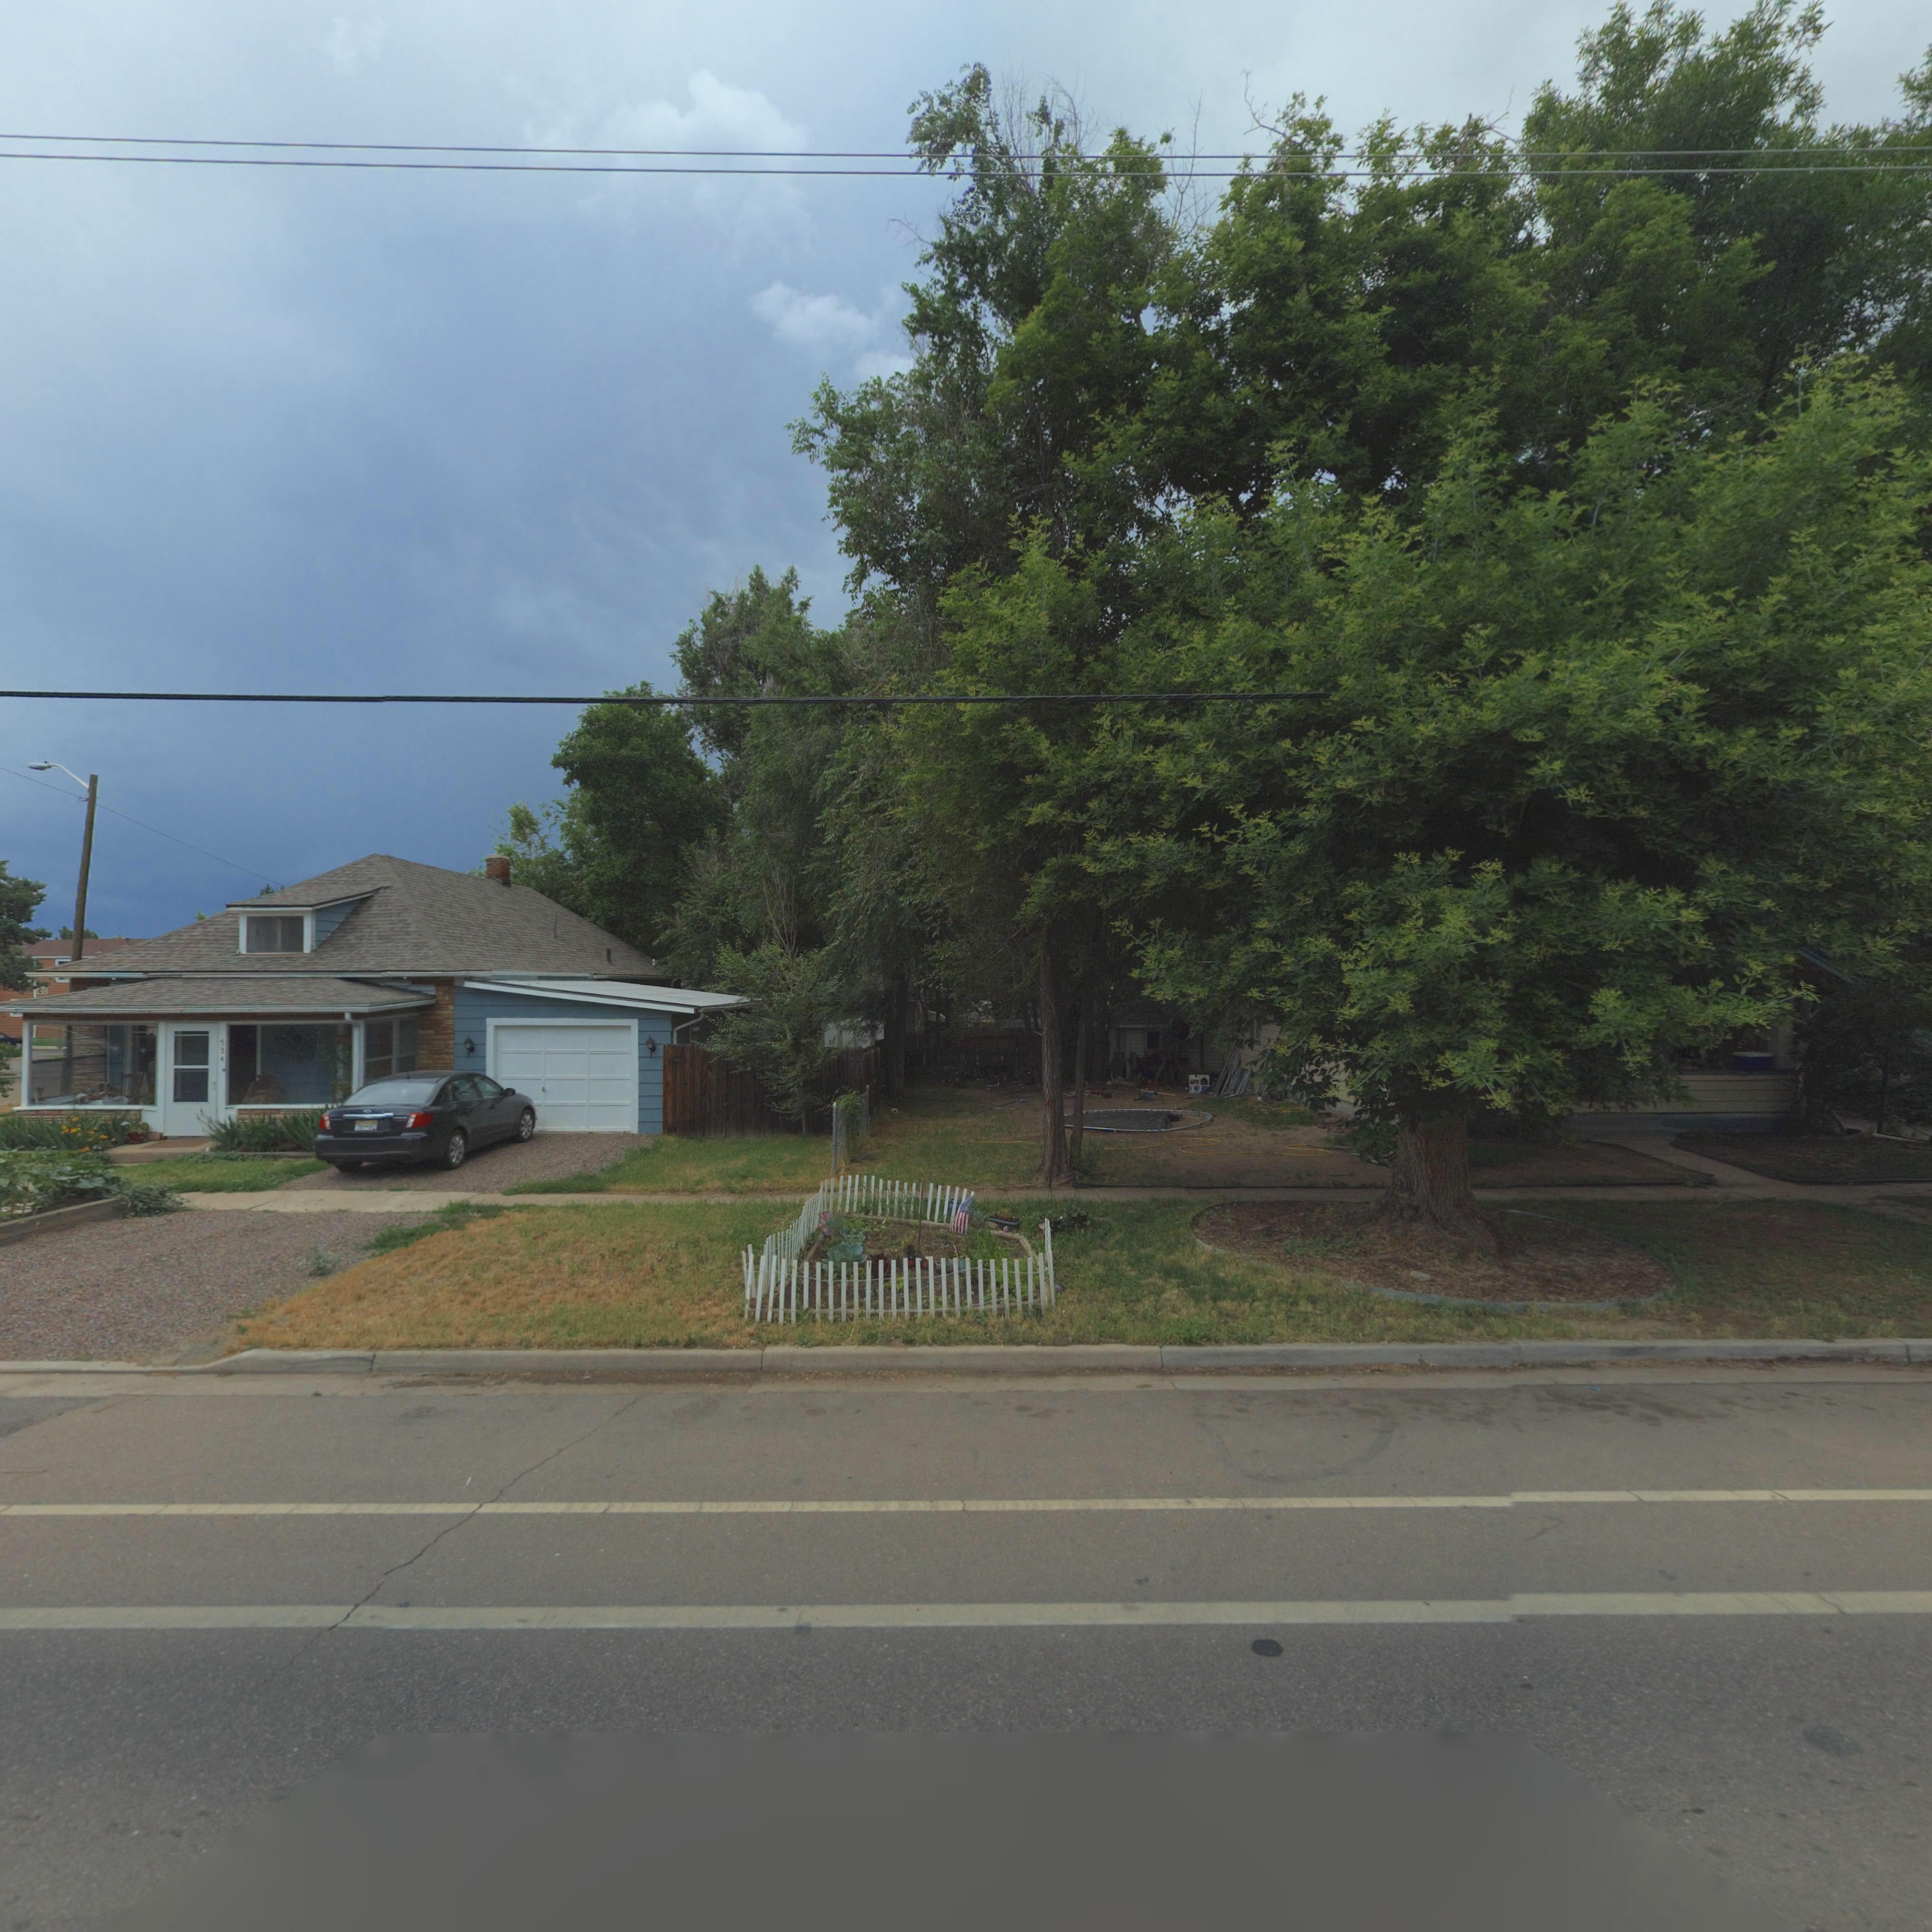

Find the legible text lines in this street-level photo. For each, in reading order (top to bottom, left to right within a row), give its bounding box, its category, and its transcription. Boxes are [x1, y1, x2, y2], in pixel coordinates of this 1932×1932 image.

[220, 1039, 225, 1061] BusinessName: 534